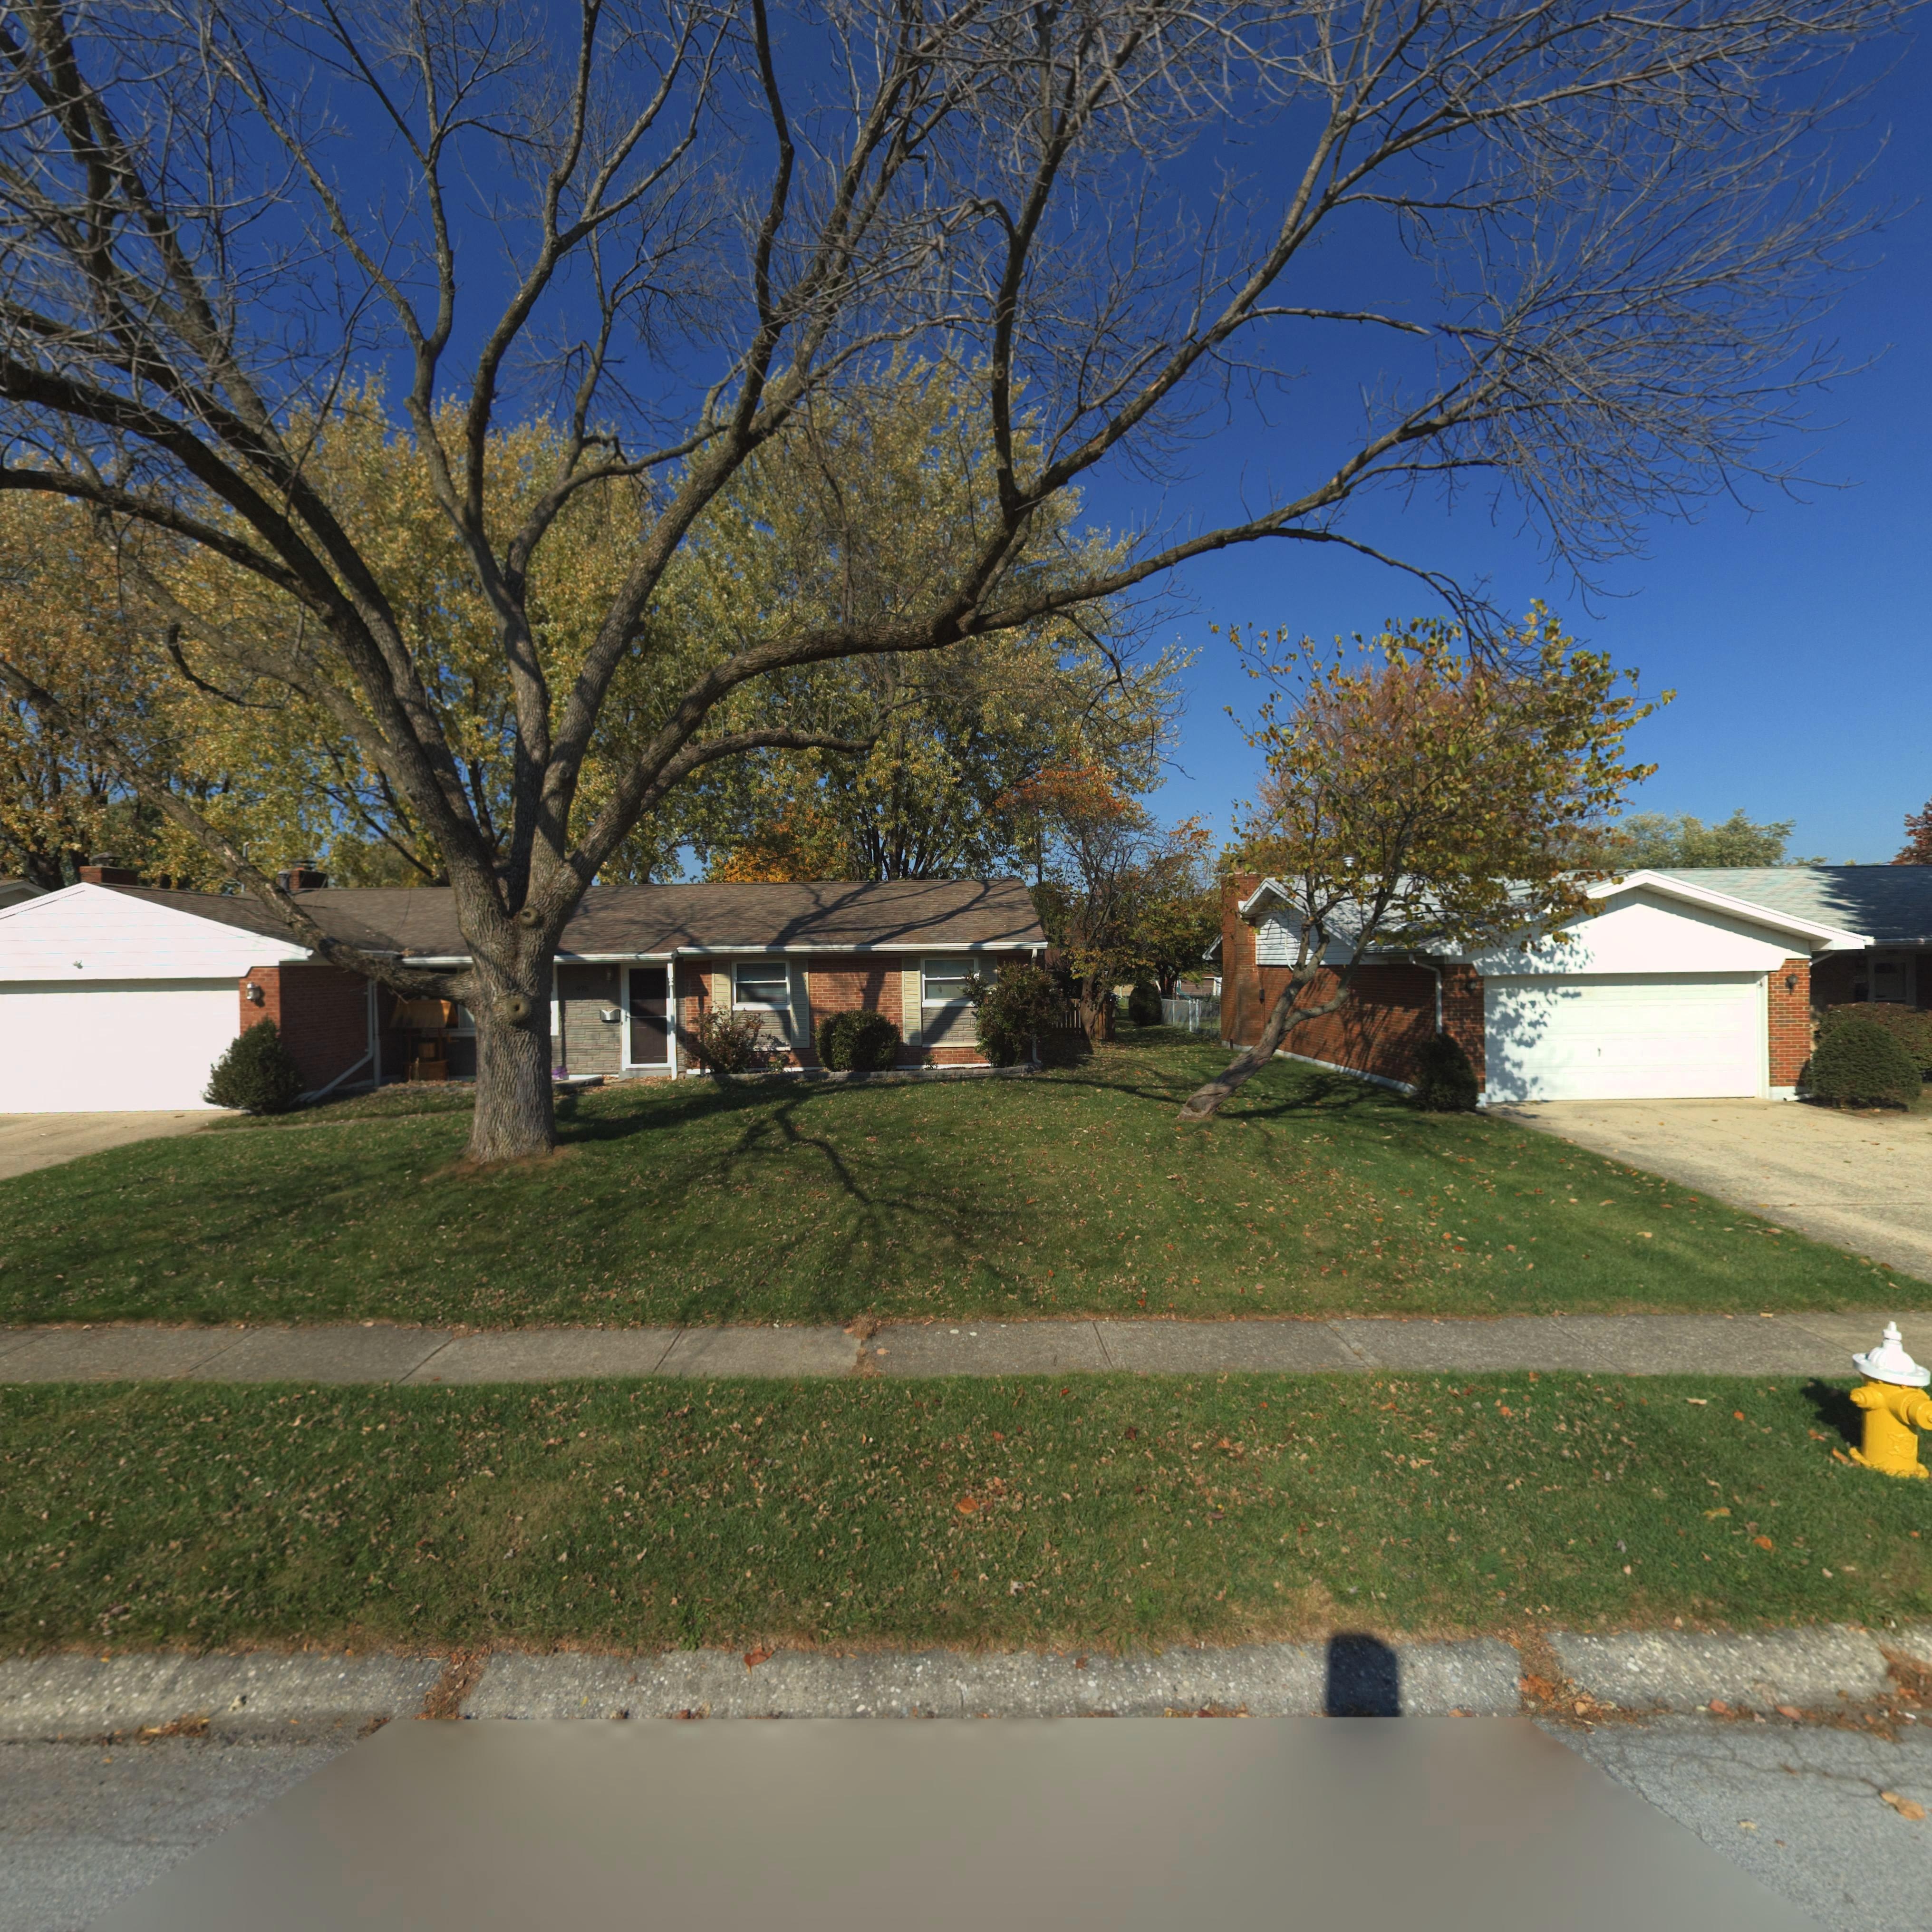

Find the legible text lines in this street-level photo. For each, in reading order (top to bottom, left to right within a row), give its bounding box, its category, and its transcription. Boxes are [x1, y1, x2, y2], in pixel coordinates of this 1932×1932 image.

[575, 985, 589, 992] StreetNumber: 975